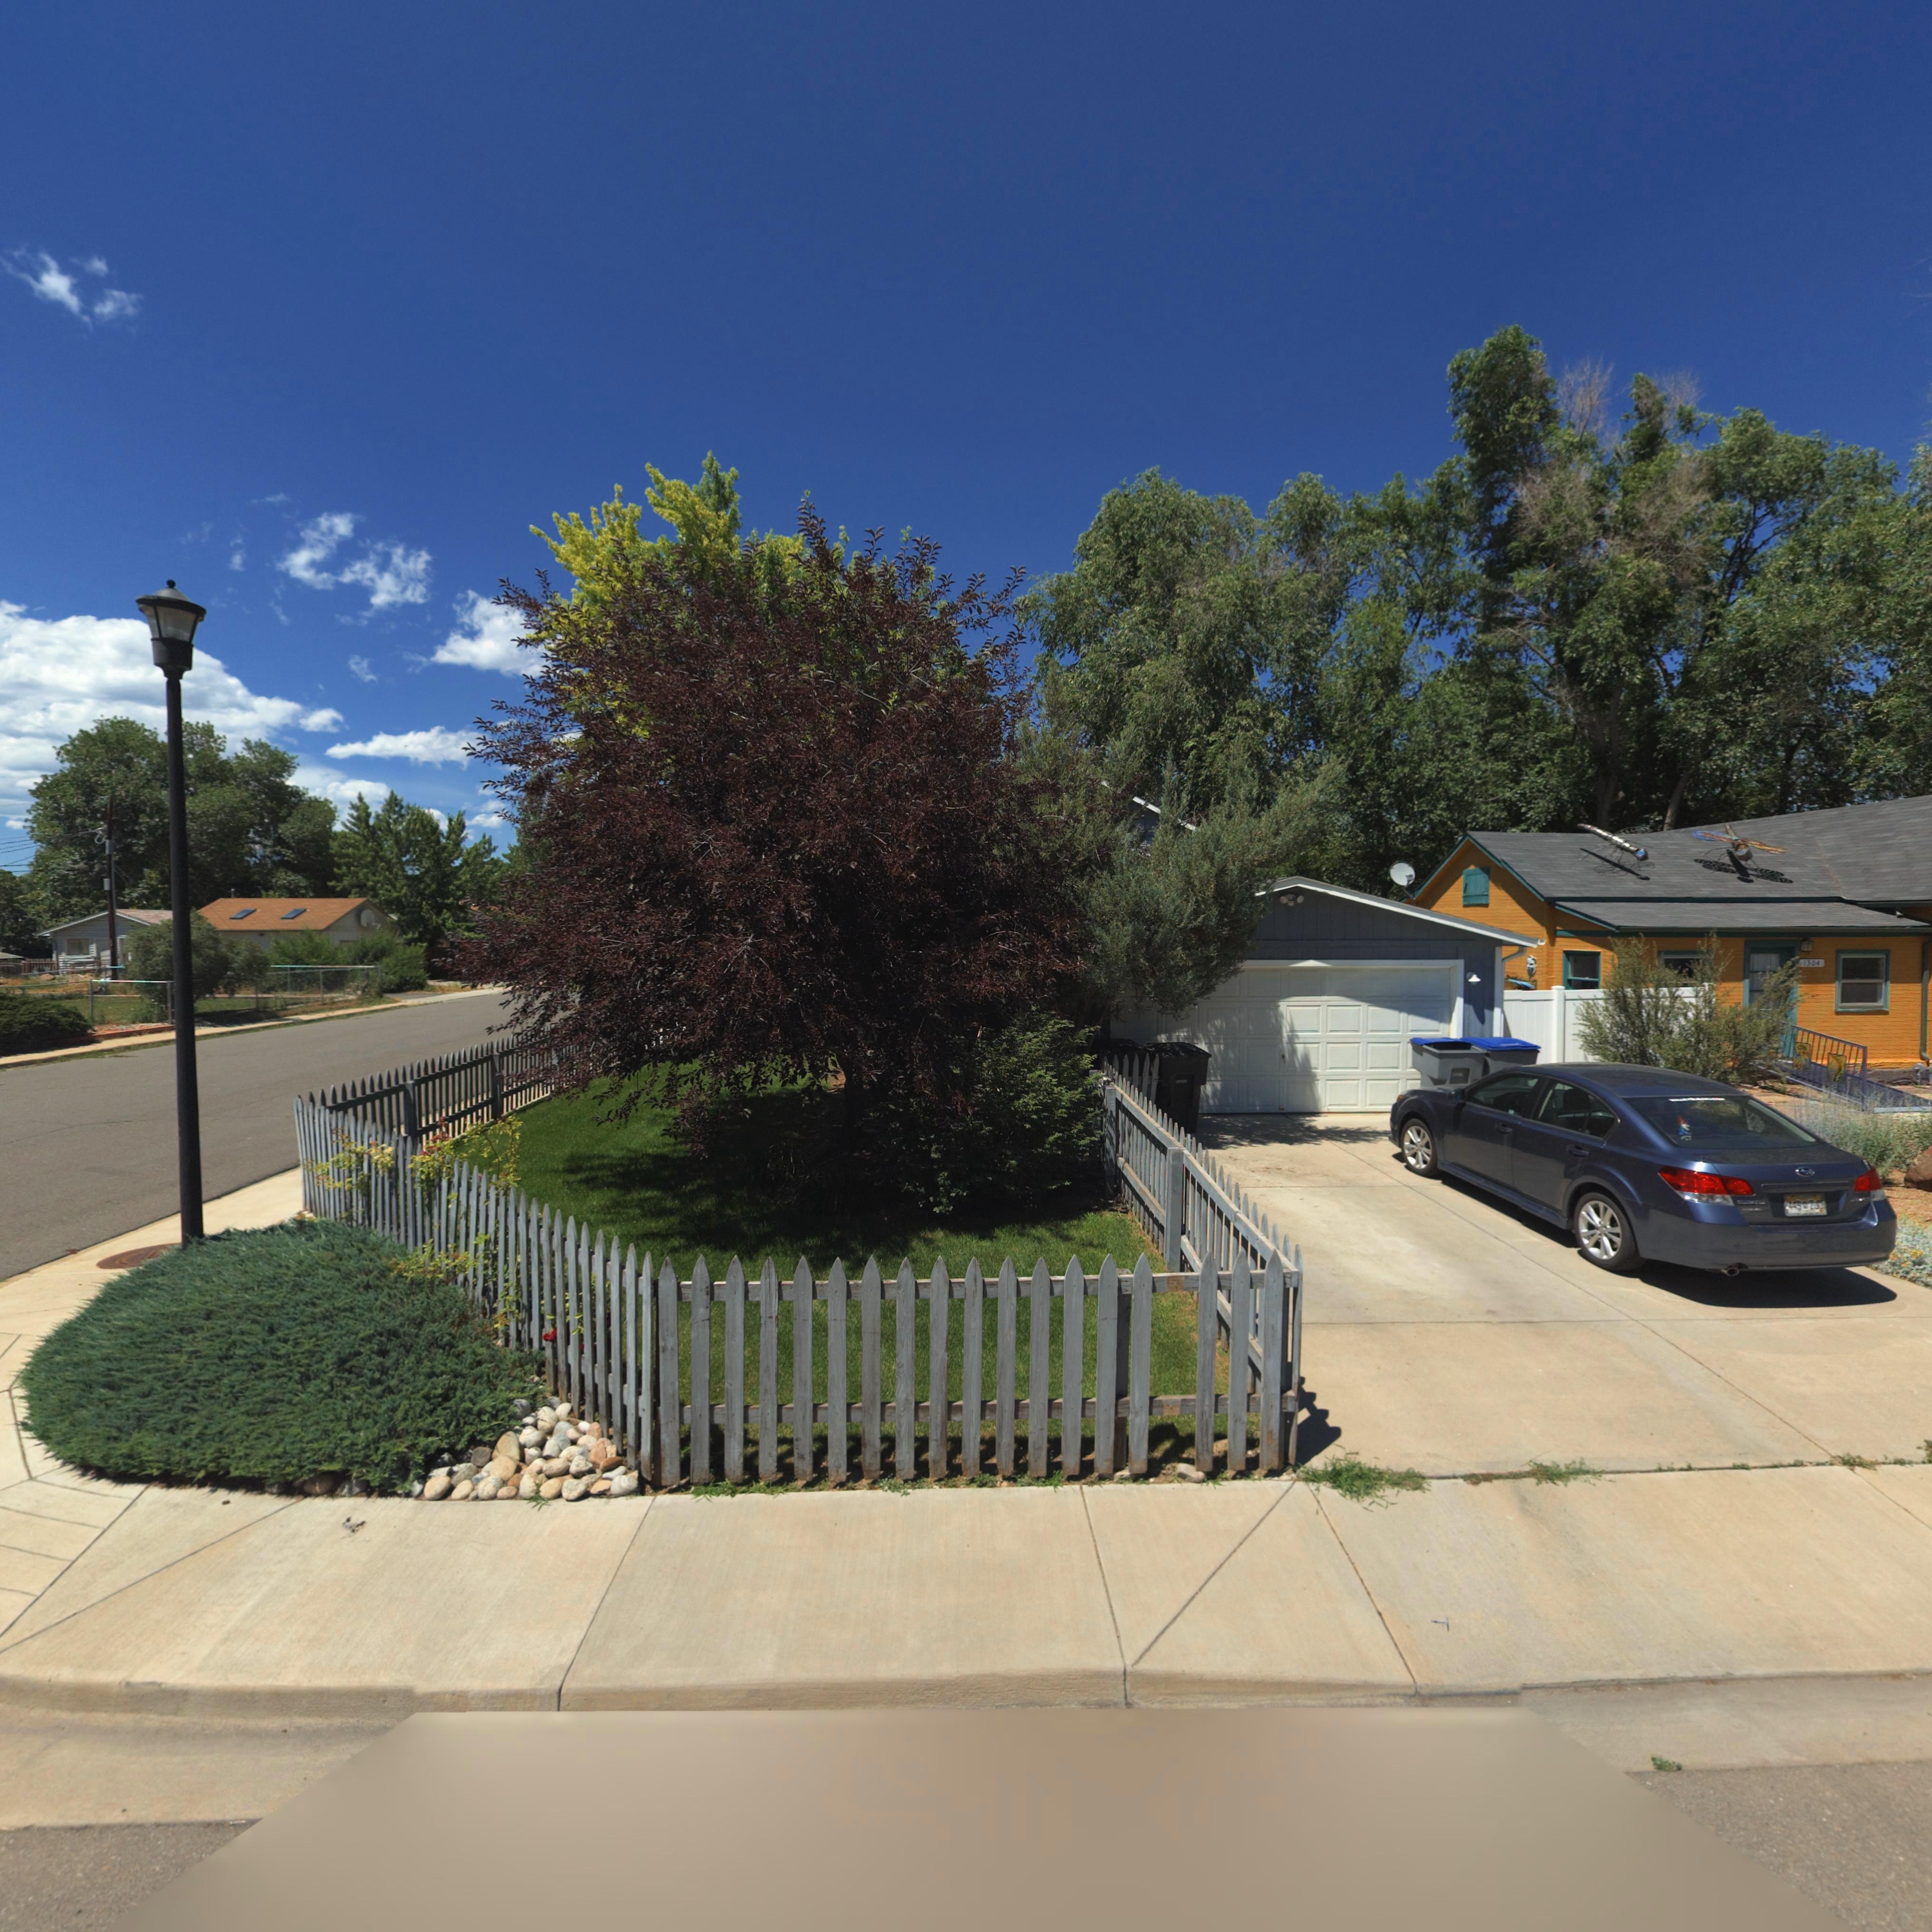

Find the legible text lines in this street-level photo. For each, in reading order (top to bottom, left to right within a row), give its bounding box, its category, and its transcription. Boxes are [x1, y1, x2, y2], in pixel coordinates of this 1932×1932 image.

[1803, 959, 1820, 966] StreetNumber: 1304